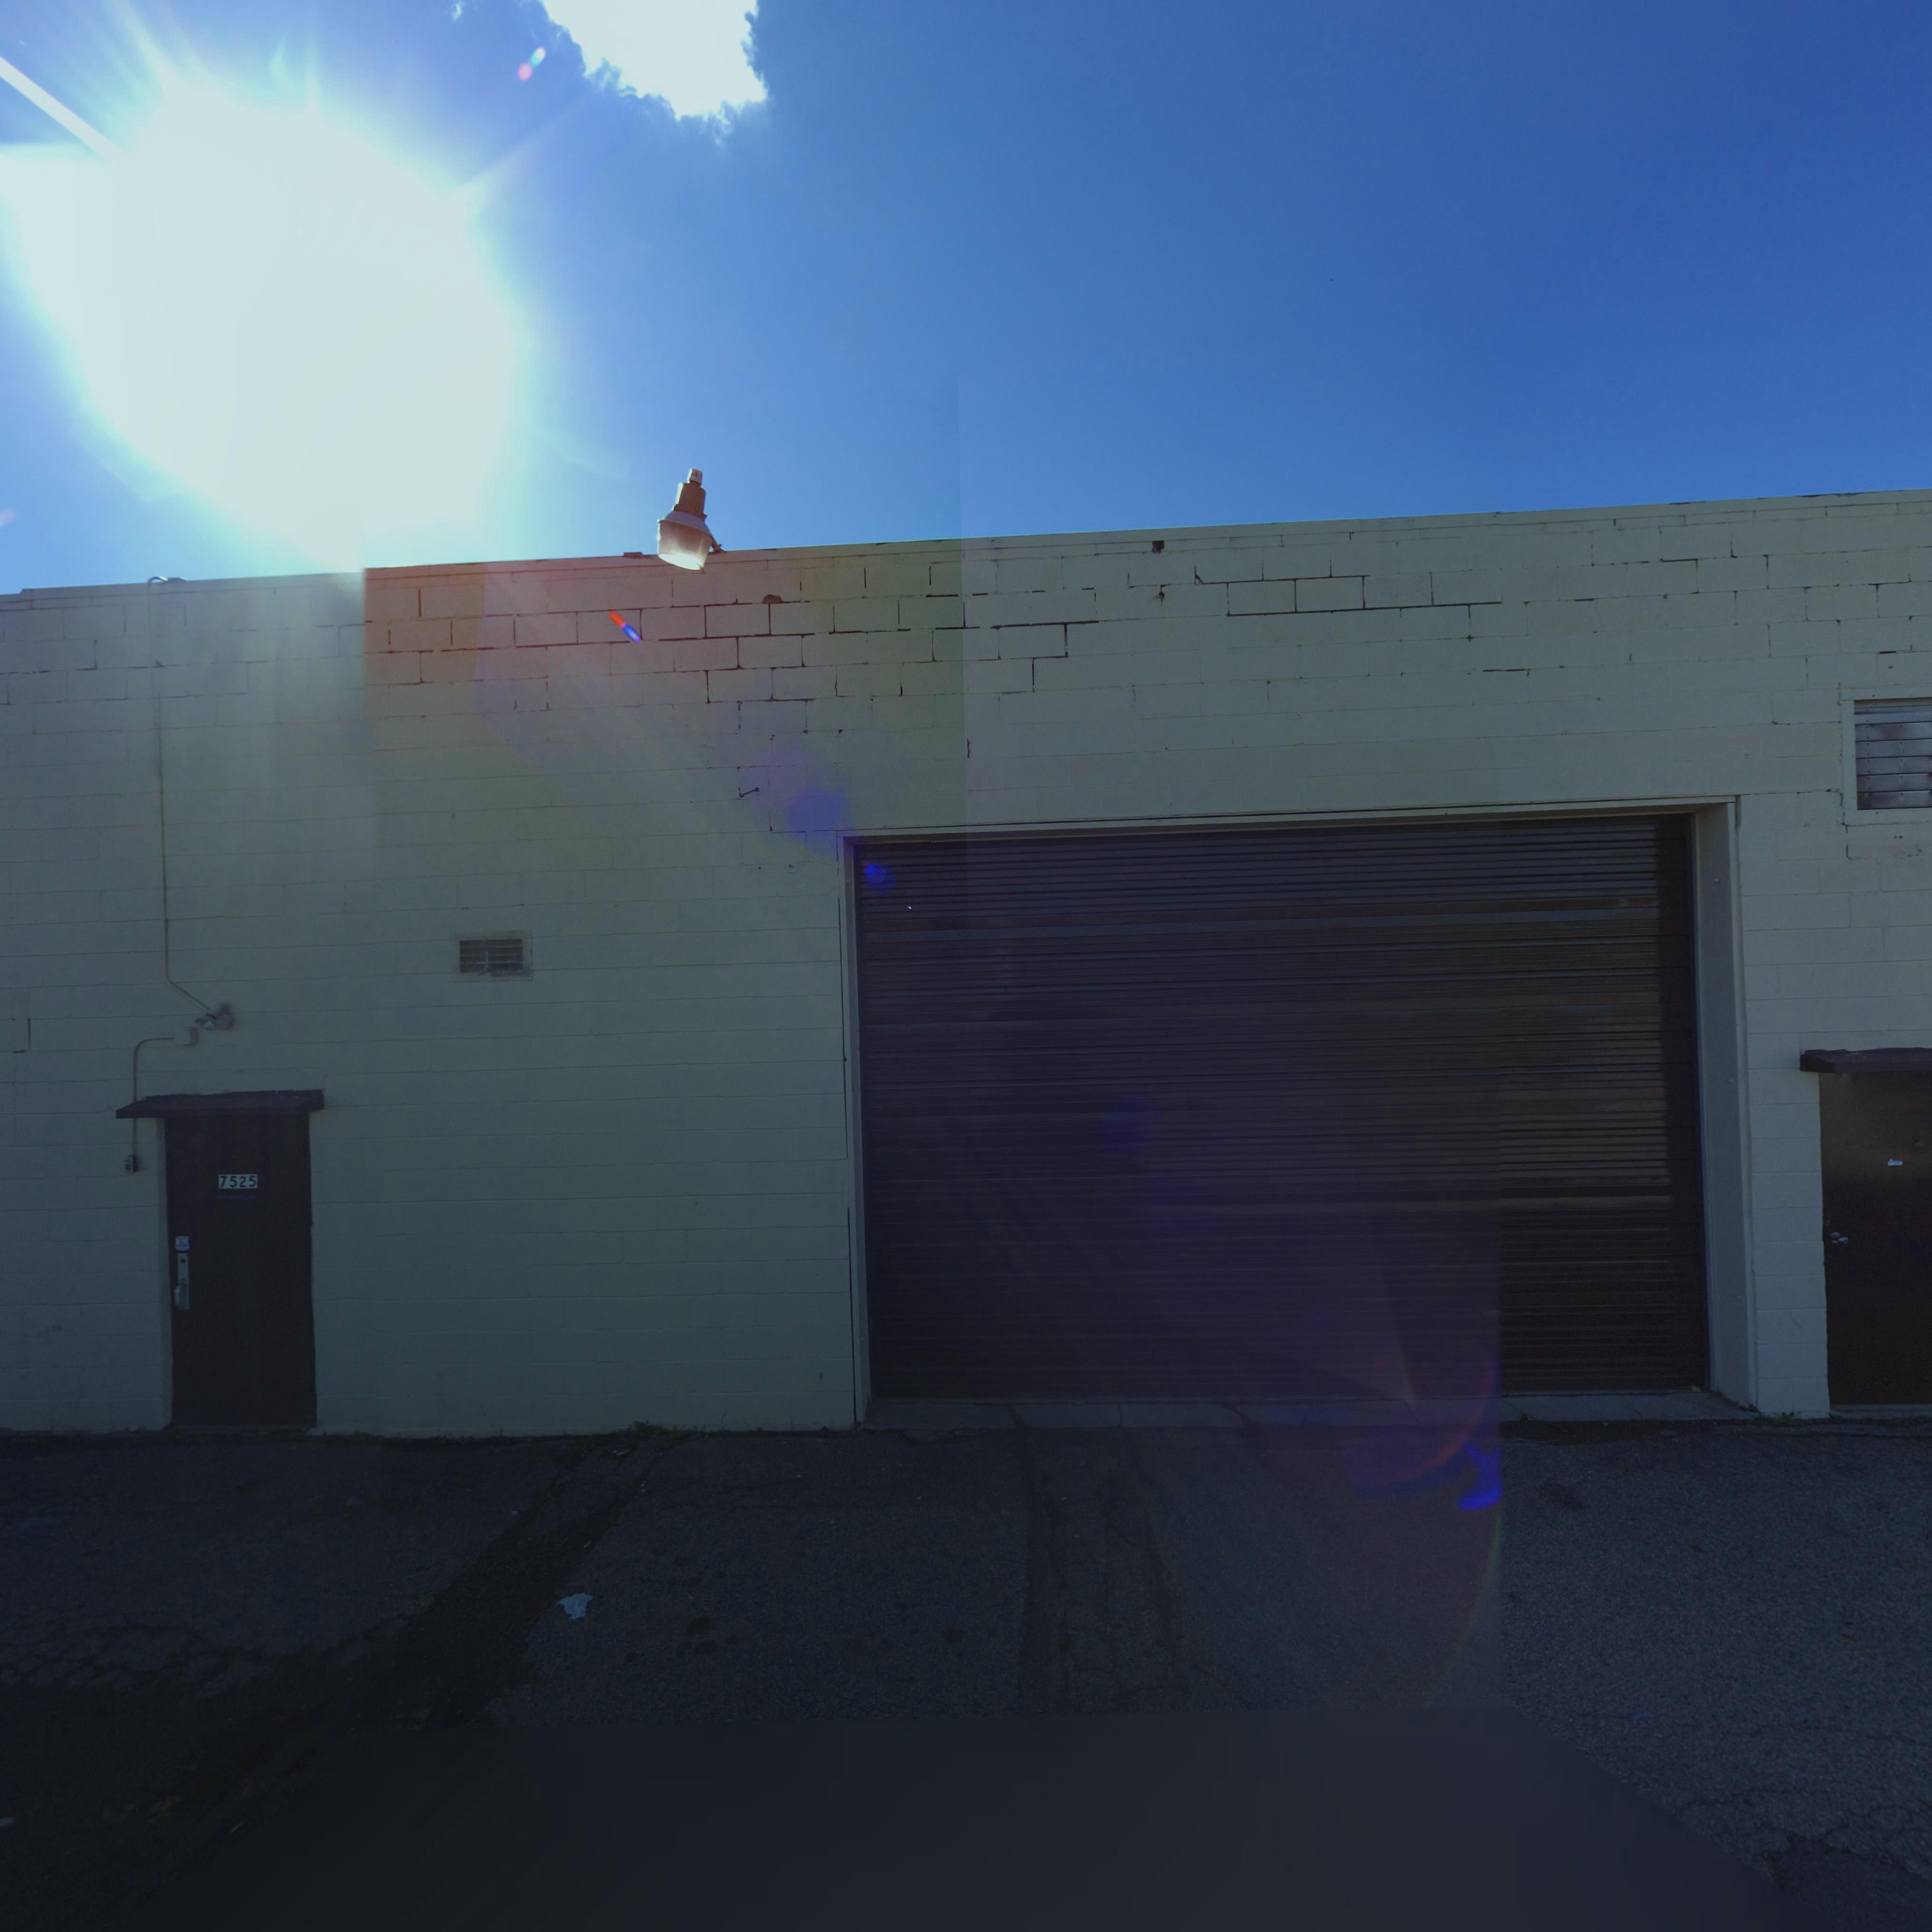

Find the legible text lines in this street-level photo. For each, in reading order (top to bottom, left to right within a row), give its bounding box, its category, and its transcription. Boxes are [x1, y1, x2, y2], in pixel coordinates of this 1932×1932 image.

[219, 1174, 257, 1188] StreetNumber: 7525